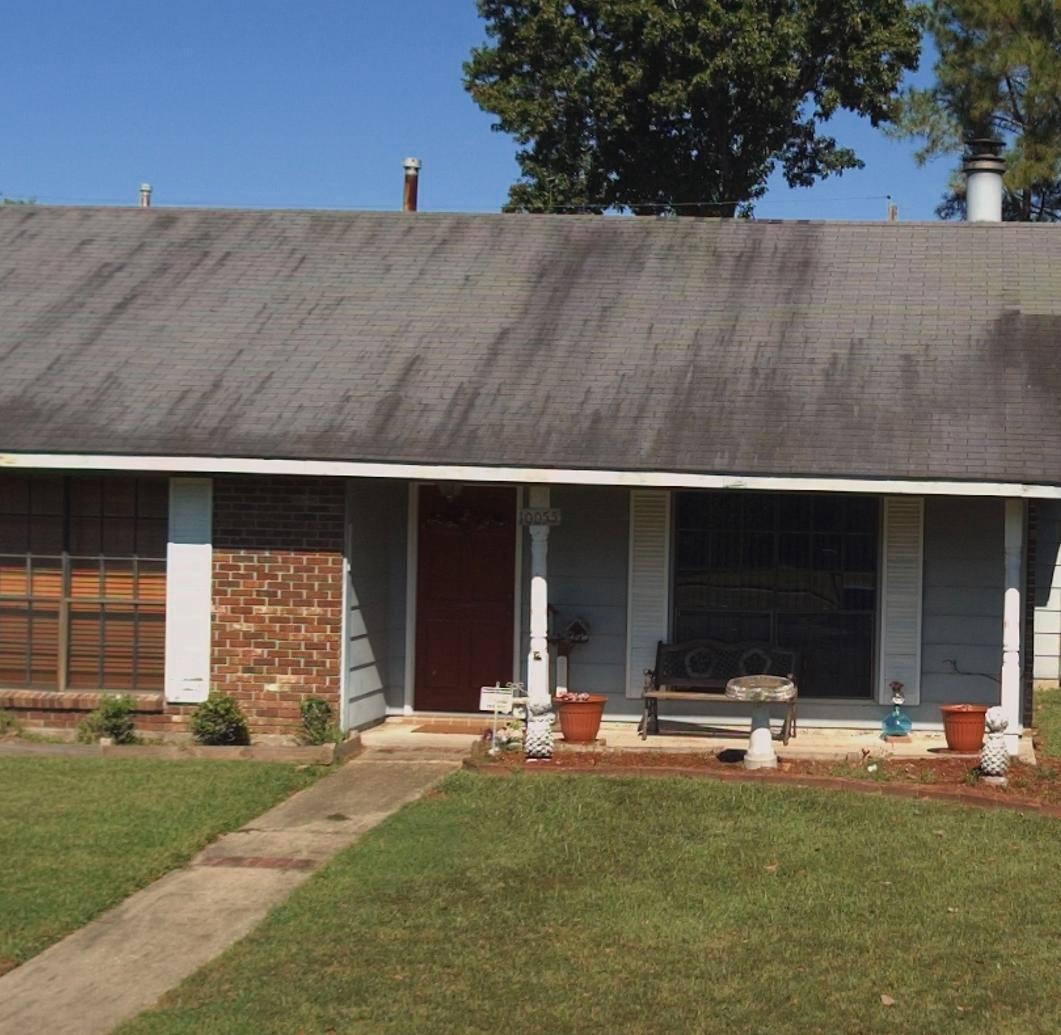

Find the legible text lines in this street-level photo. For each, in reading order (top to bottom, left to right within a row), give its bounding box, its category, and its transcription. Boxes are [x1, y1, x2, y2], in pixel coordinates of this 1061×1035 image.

[518, 509, 559, 524] StreetNumber: 10055